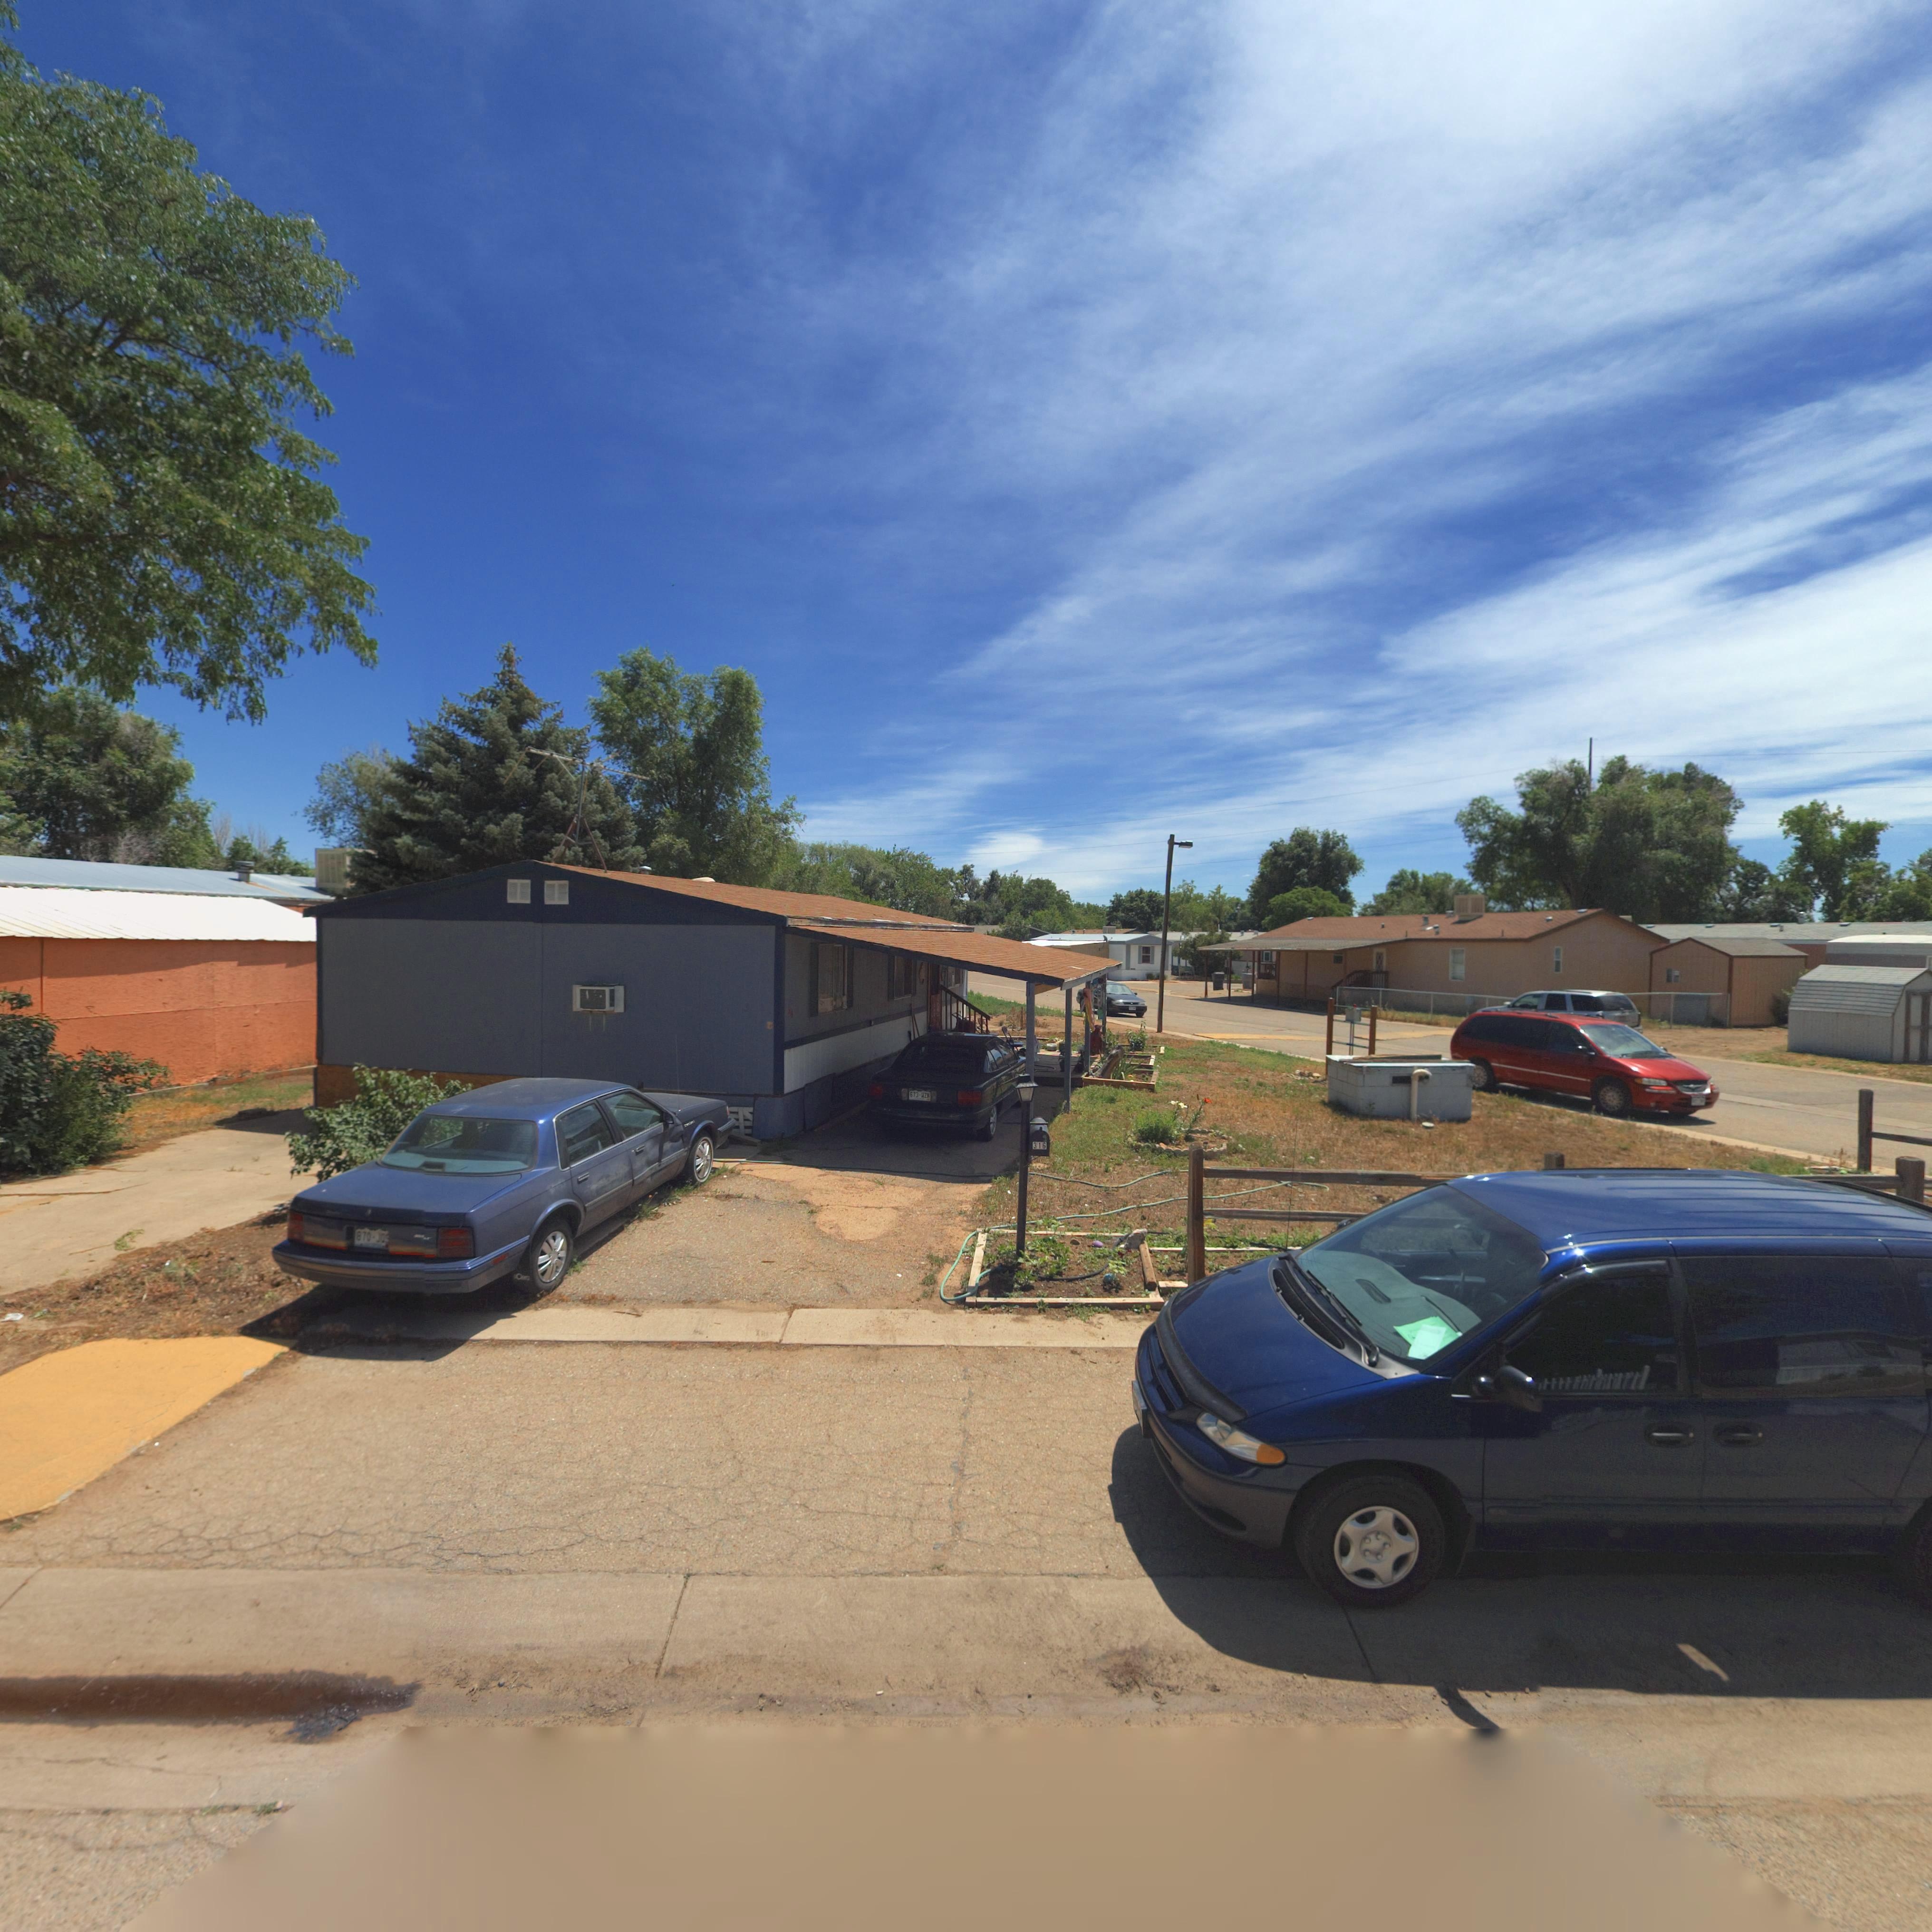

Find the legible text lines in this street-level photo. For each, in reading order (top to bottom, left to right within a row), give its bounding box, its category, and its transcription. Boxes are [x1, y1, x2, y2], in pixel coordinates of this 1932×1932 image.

[1033, 1142, 1046, 1149] StreetNumber: 316